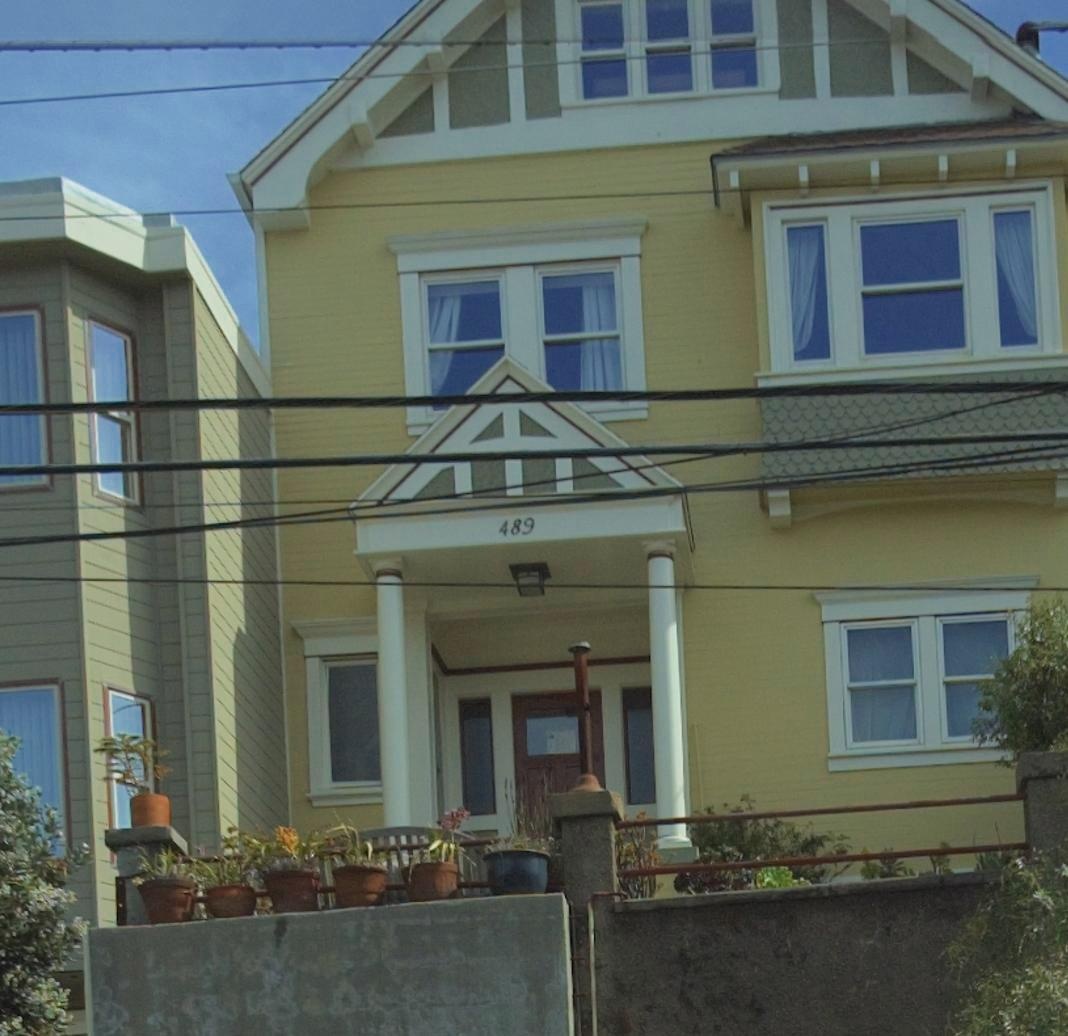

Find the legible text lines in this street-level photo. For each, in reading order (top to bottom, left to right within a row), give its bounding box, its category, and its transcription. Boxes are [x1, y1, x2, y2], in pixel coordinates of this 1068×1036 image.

[497, 517, 536, 537] StreetNumber: 489